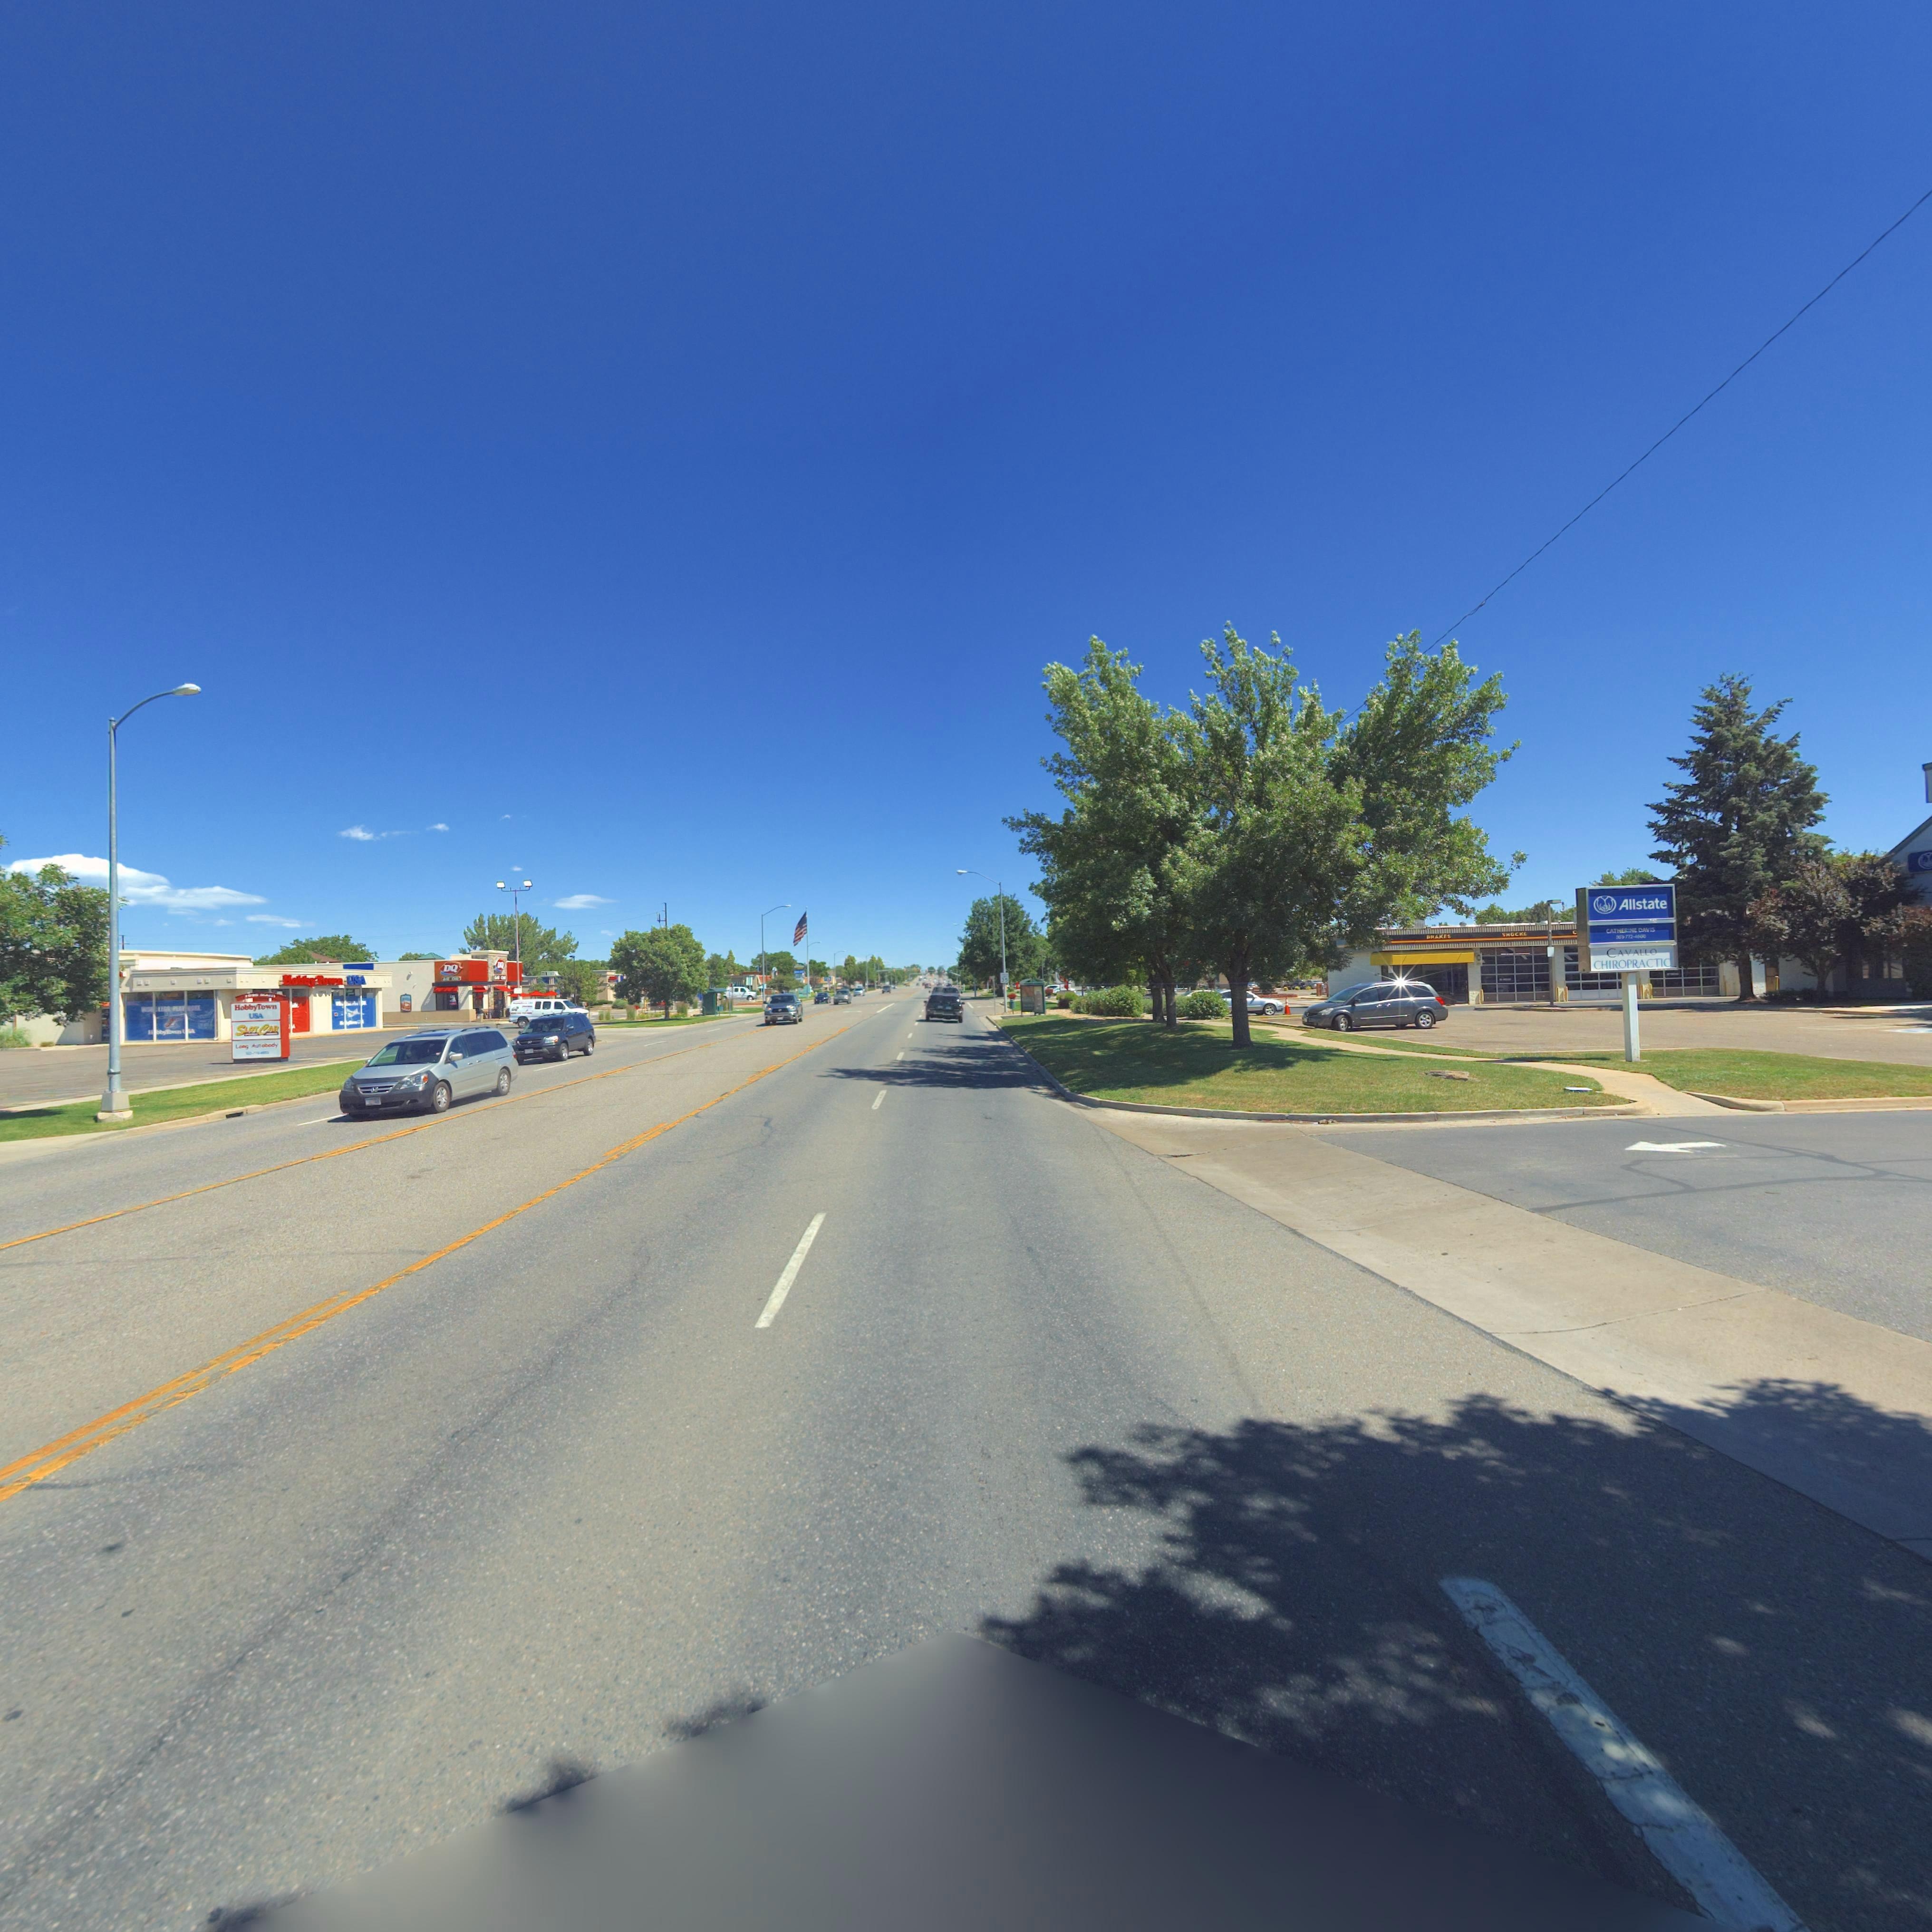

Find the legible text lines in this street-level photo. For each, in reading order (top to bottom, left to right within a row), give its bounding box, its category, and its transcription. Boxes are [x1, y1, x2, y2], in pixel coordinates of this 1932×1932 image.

[1618, 897, 1668, 910] BusinessName: Allstate
[1606, 947, 1657, 958] BusinessName: CAVALLO
[442, 964, 458, 973] BusinessName: DQ
[497, 961, 504, 969] BusinessName: DQ
[1593, 957, 1672, 970] BusinessName: CHIROPRACTIC
[281, 974, 367, 989] BusinessName: HobbyTown USA
[318, 990, 327, 994] StreetNumber: 1**5
[234, 1003, 277, 1012] BusinessName: HobbyTown
[248, 1012, 264, 1019] BusinessName: USA
[234, 1023, 280, 1036] BusinessName: SLOTCAR
[234, 1041, 279, 1050] BusinessName: Long A****obody